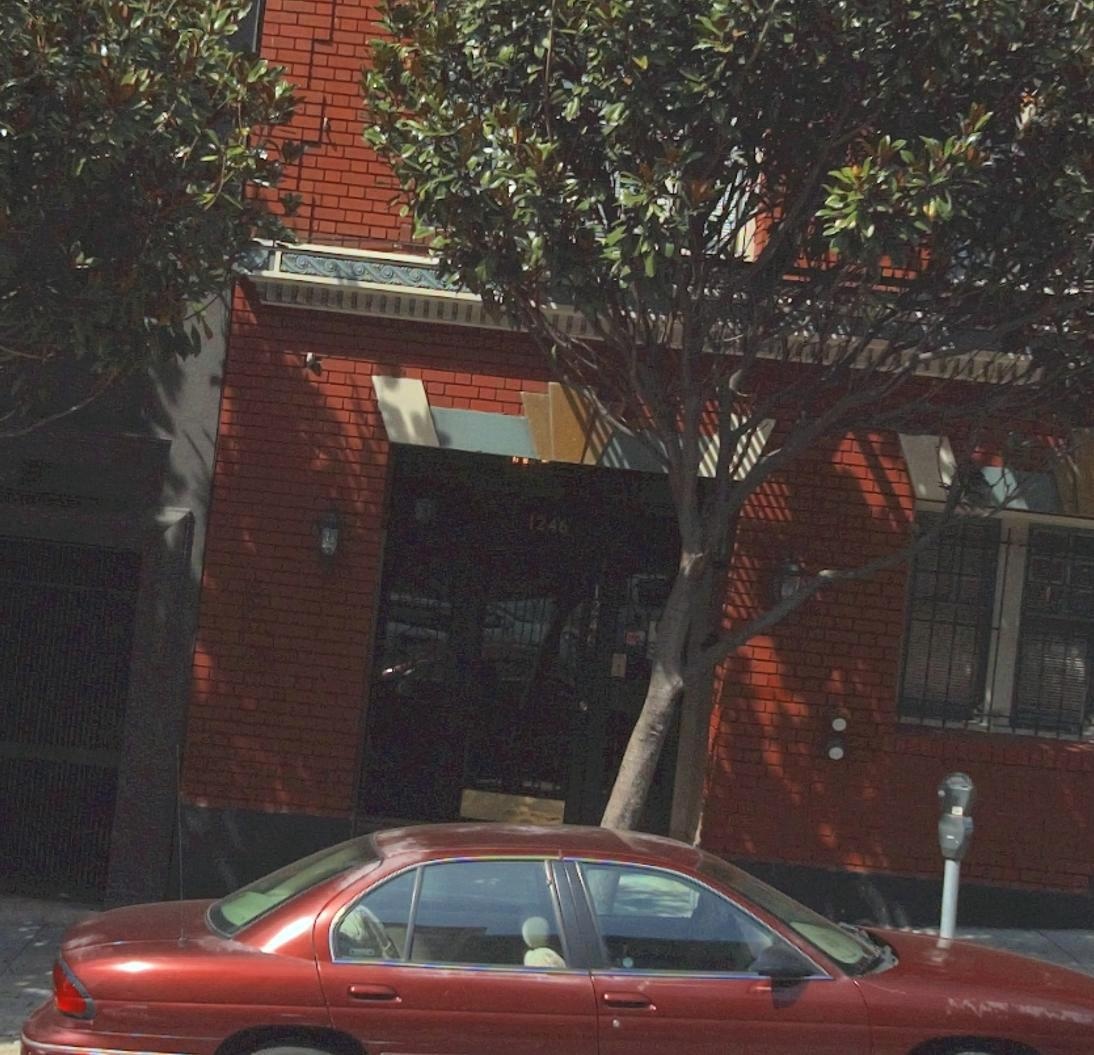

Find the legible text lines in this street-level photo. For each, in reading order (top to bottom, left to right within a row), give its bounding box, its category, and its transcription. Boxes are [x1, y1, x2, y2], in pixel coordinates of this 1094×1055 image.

[525, 512, 571, 537] StreetNumber: 1246